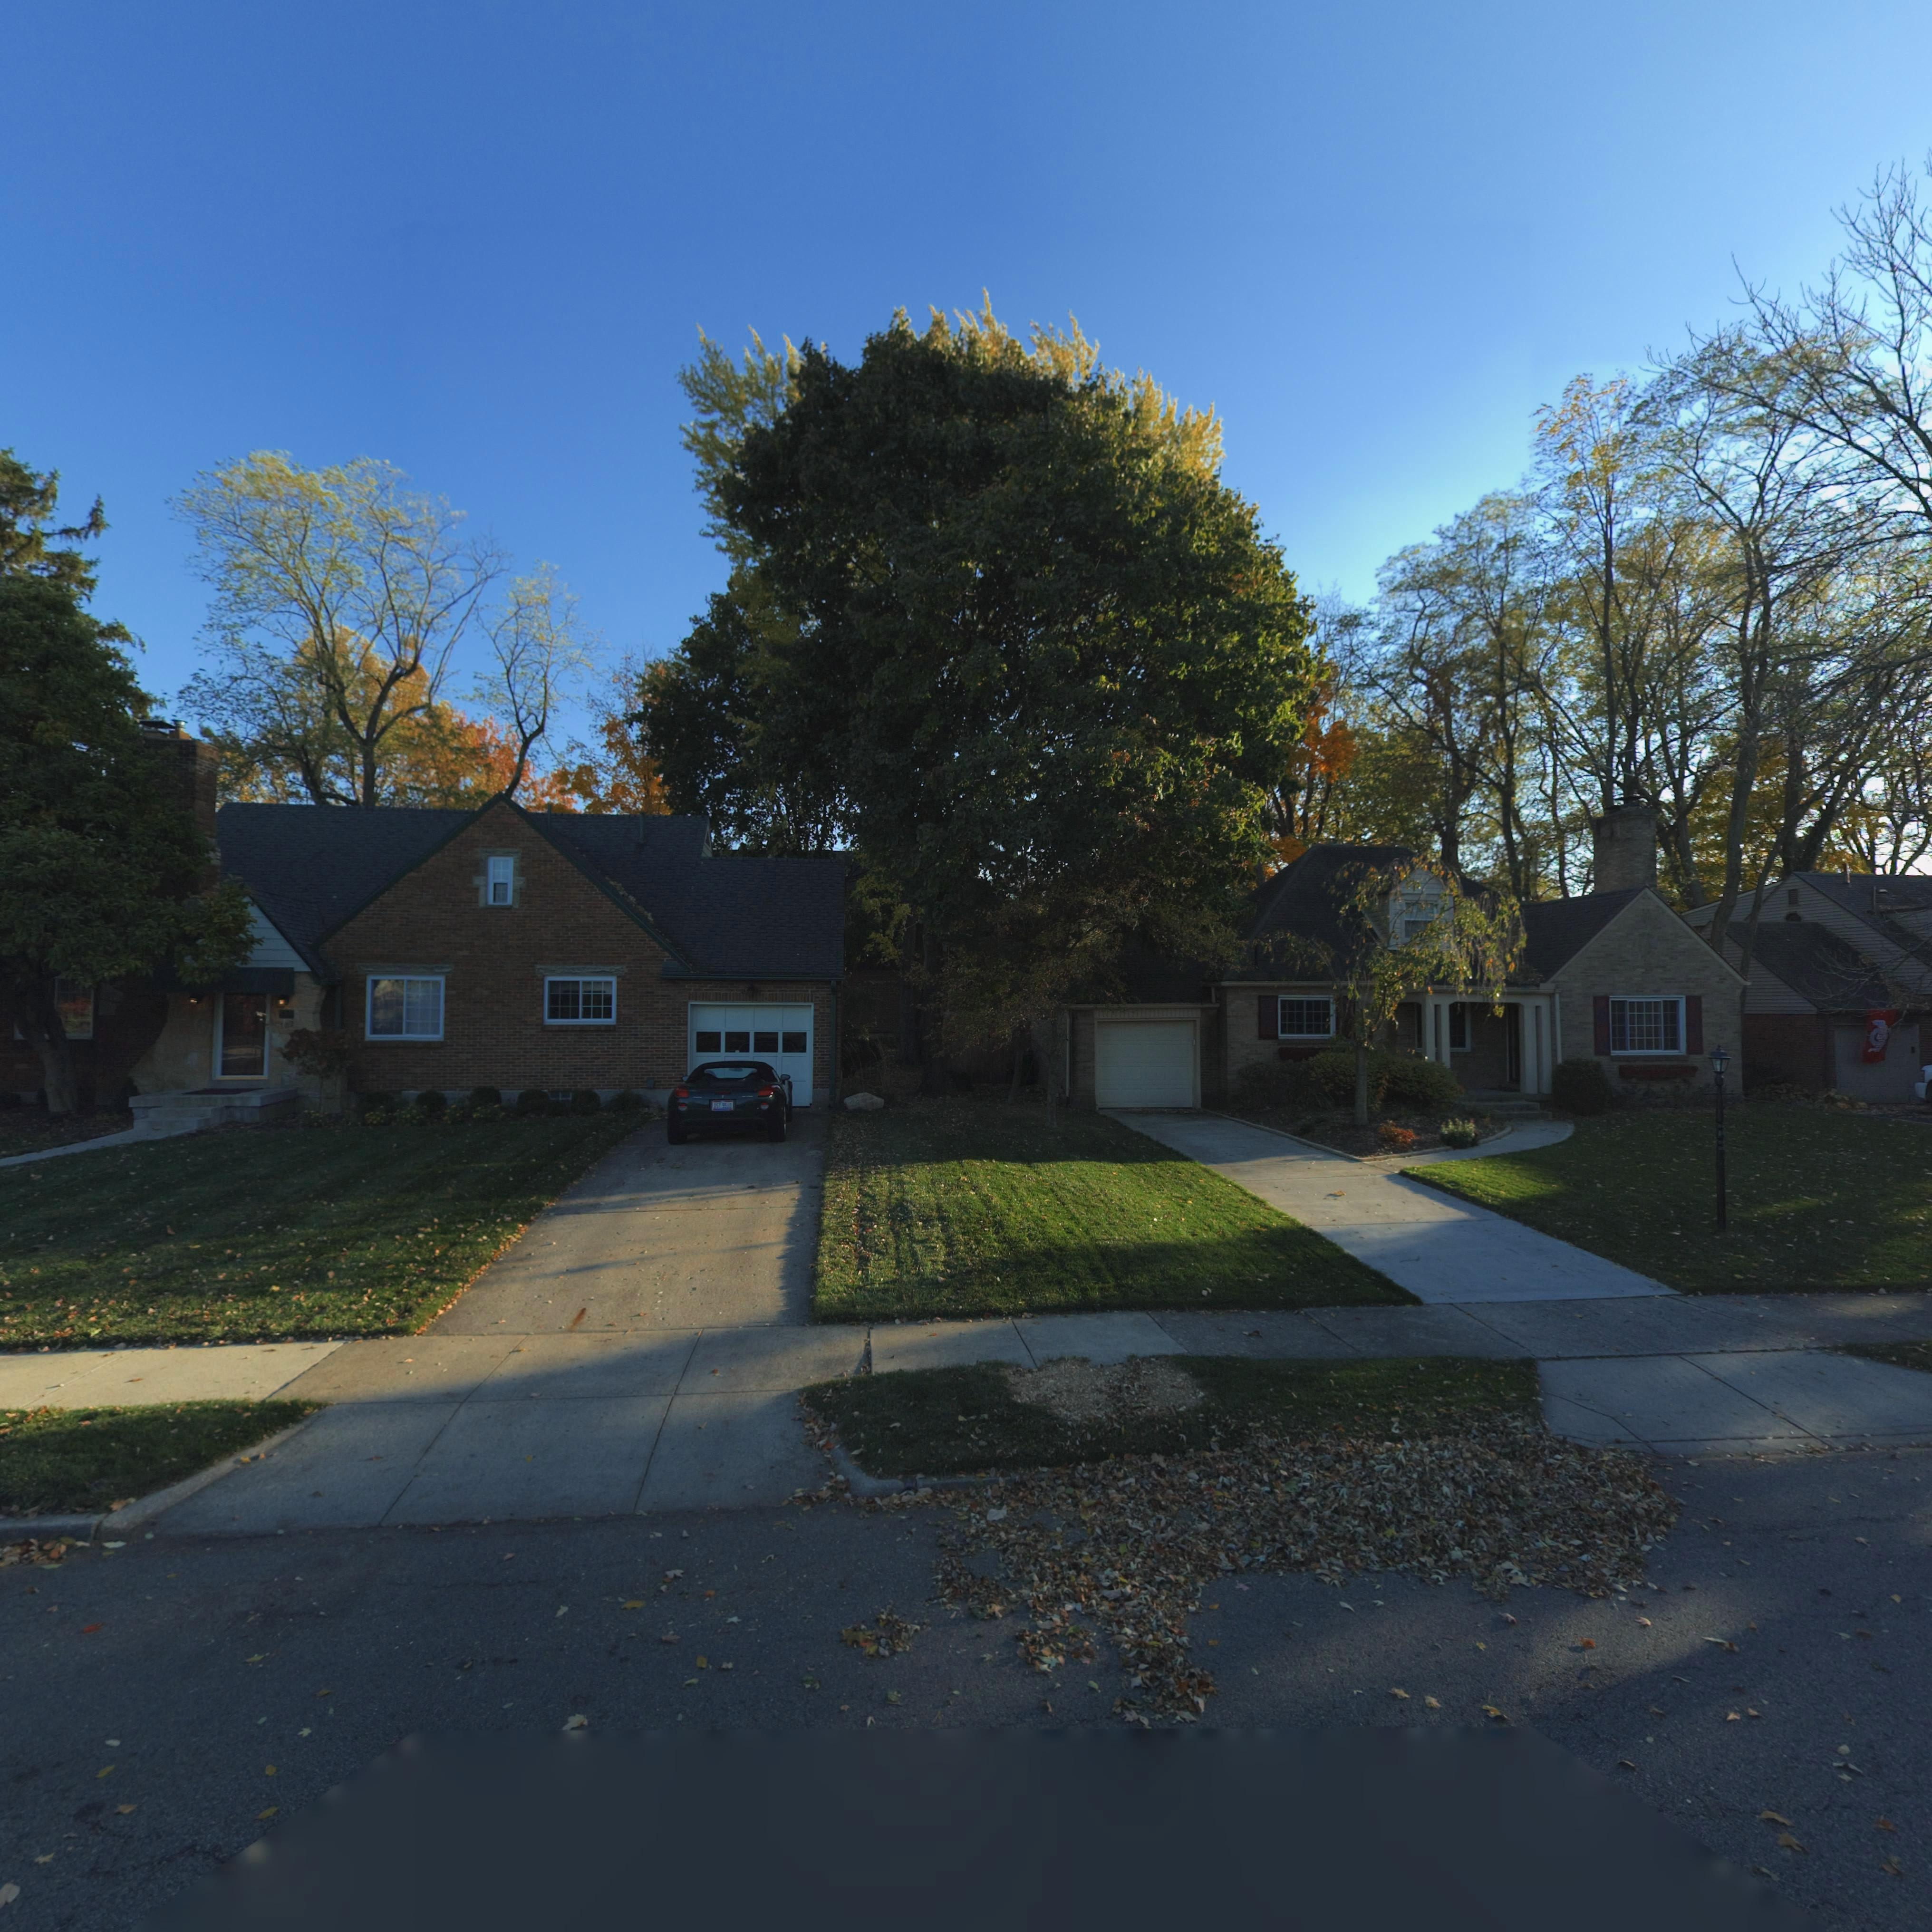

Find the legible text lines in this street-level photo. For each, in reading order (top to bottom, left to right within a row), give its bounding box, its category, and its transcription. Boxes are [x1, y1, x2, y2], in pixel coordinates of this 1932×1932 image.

[1482, 994, 1489, 1003] StreetNumber: 11